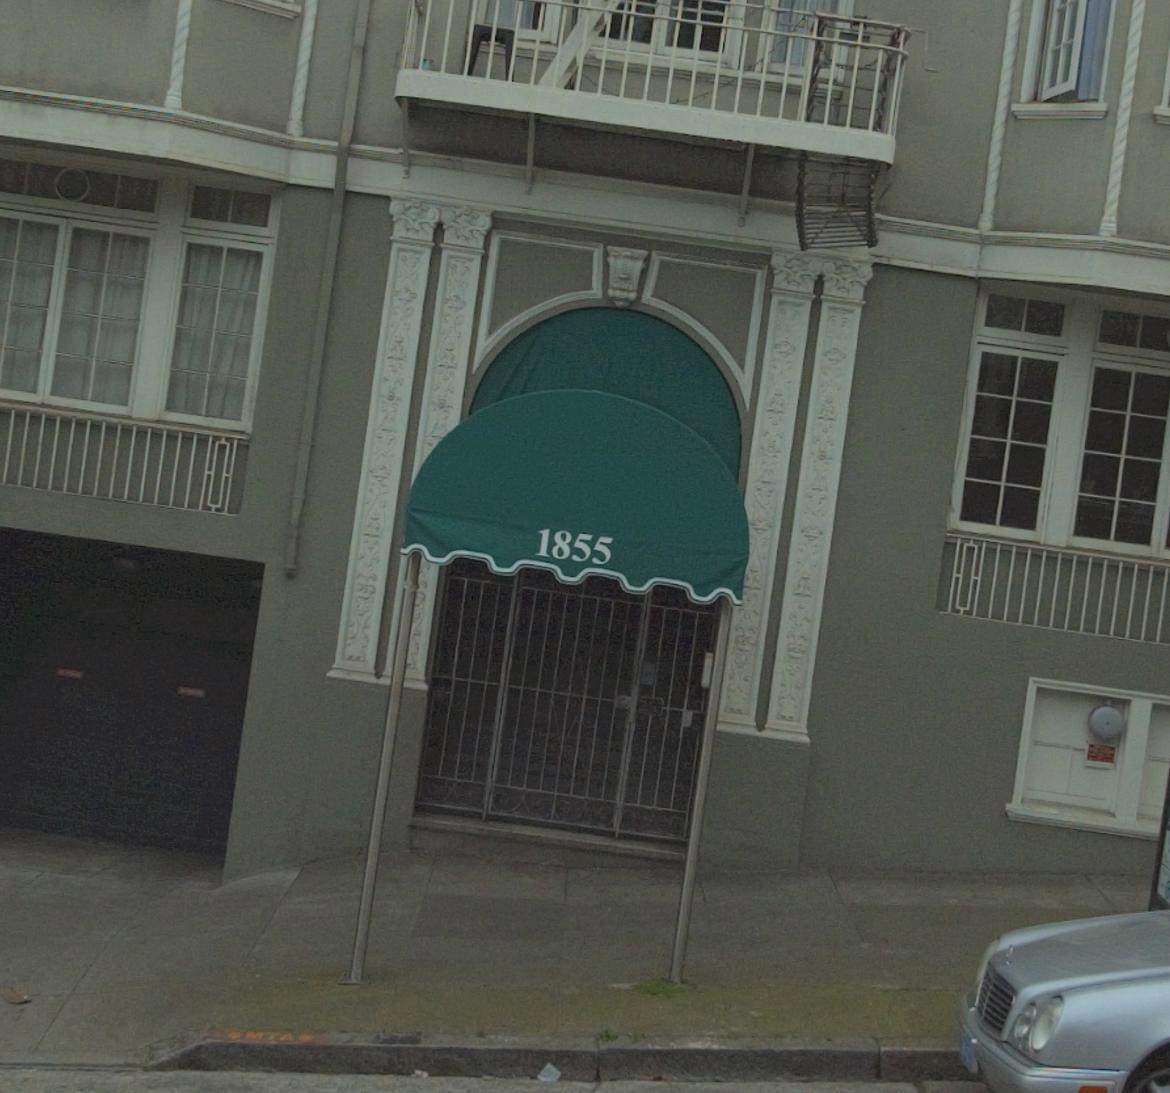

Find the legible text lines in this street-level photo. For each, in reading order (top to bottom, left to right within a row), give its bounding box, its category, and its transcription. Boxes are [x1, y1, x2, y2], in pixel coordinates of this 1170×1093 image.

[532, 525, 617, 566] StreetNumber: 1855